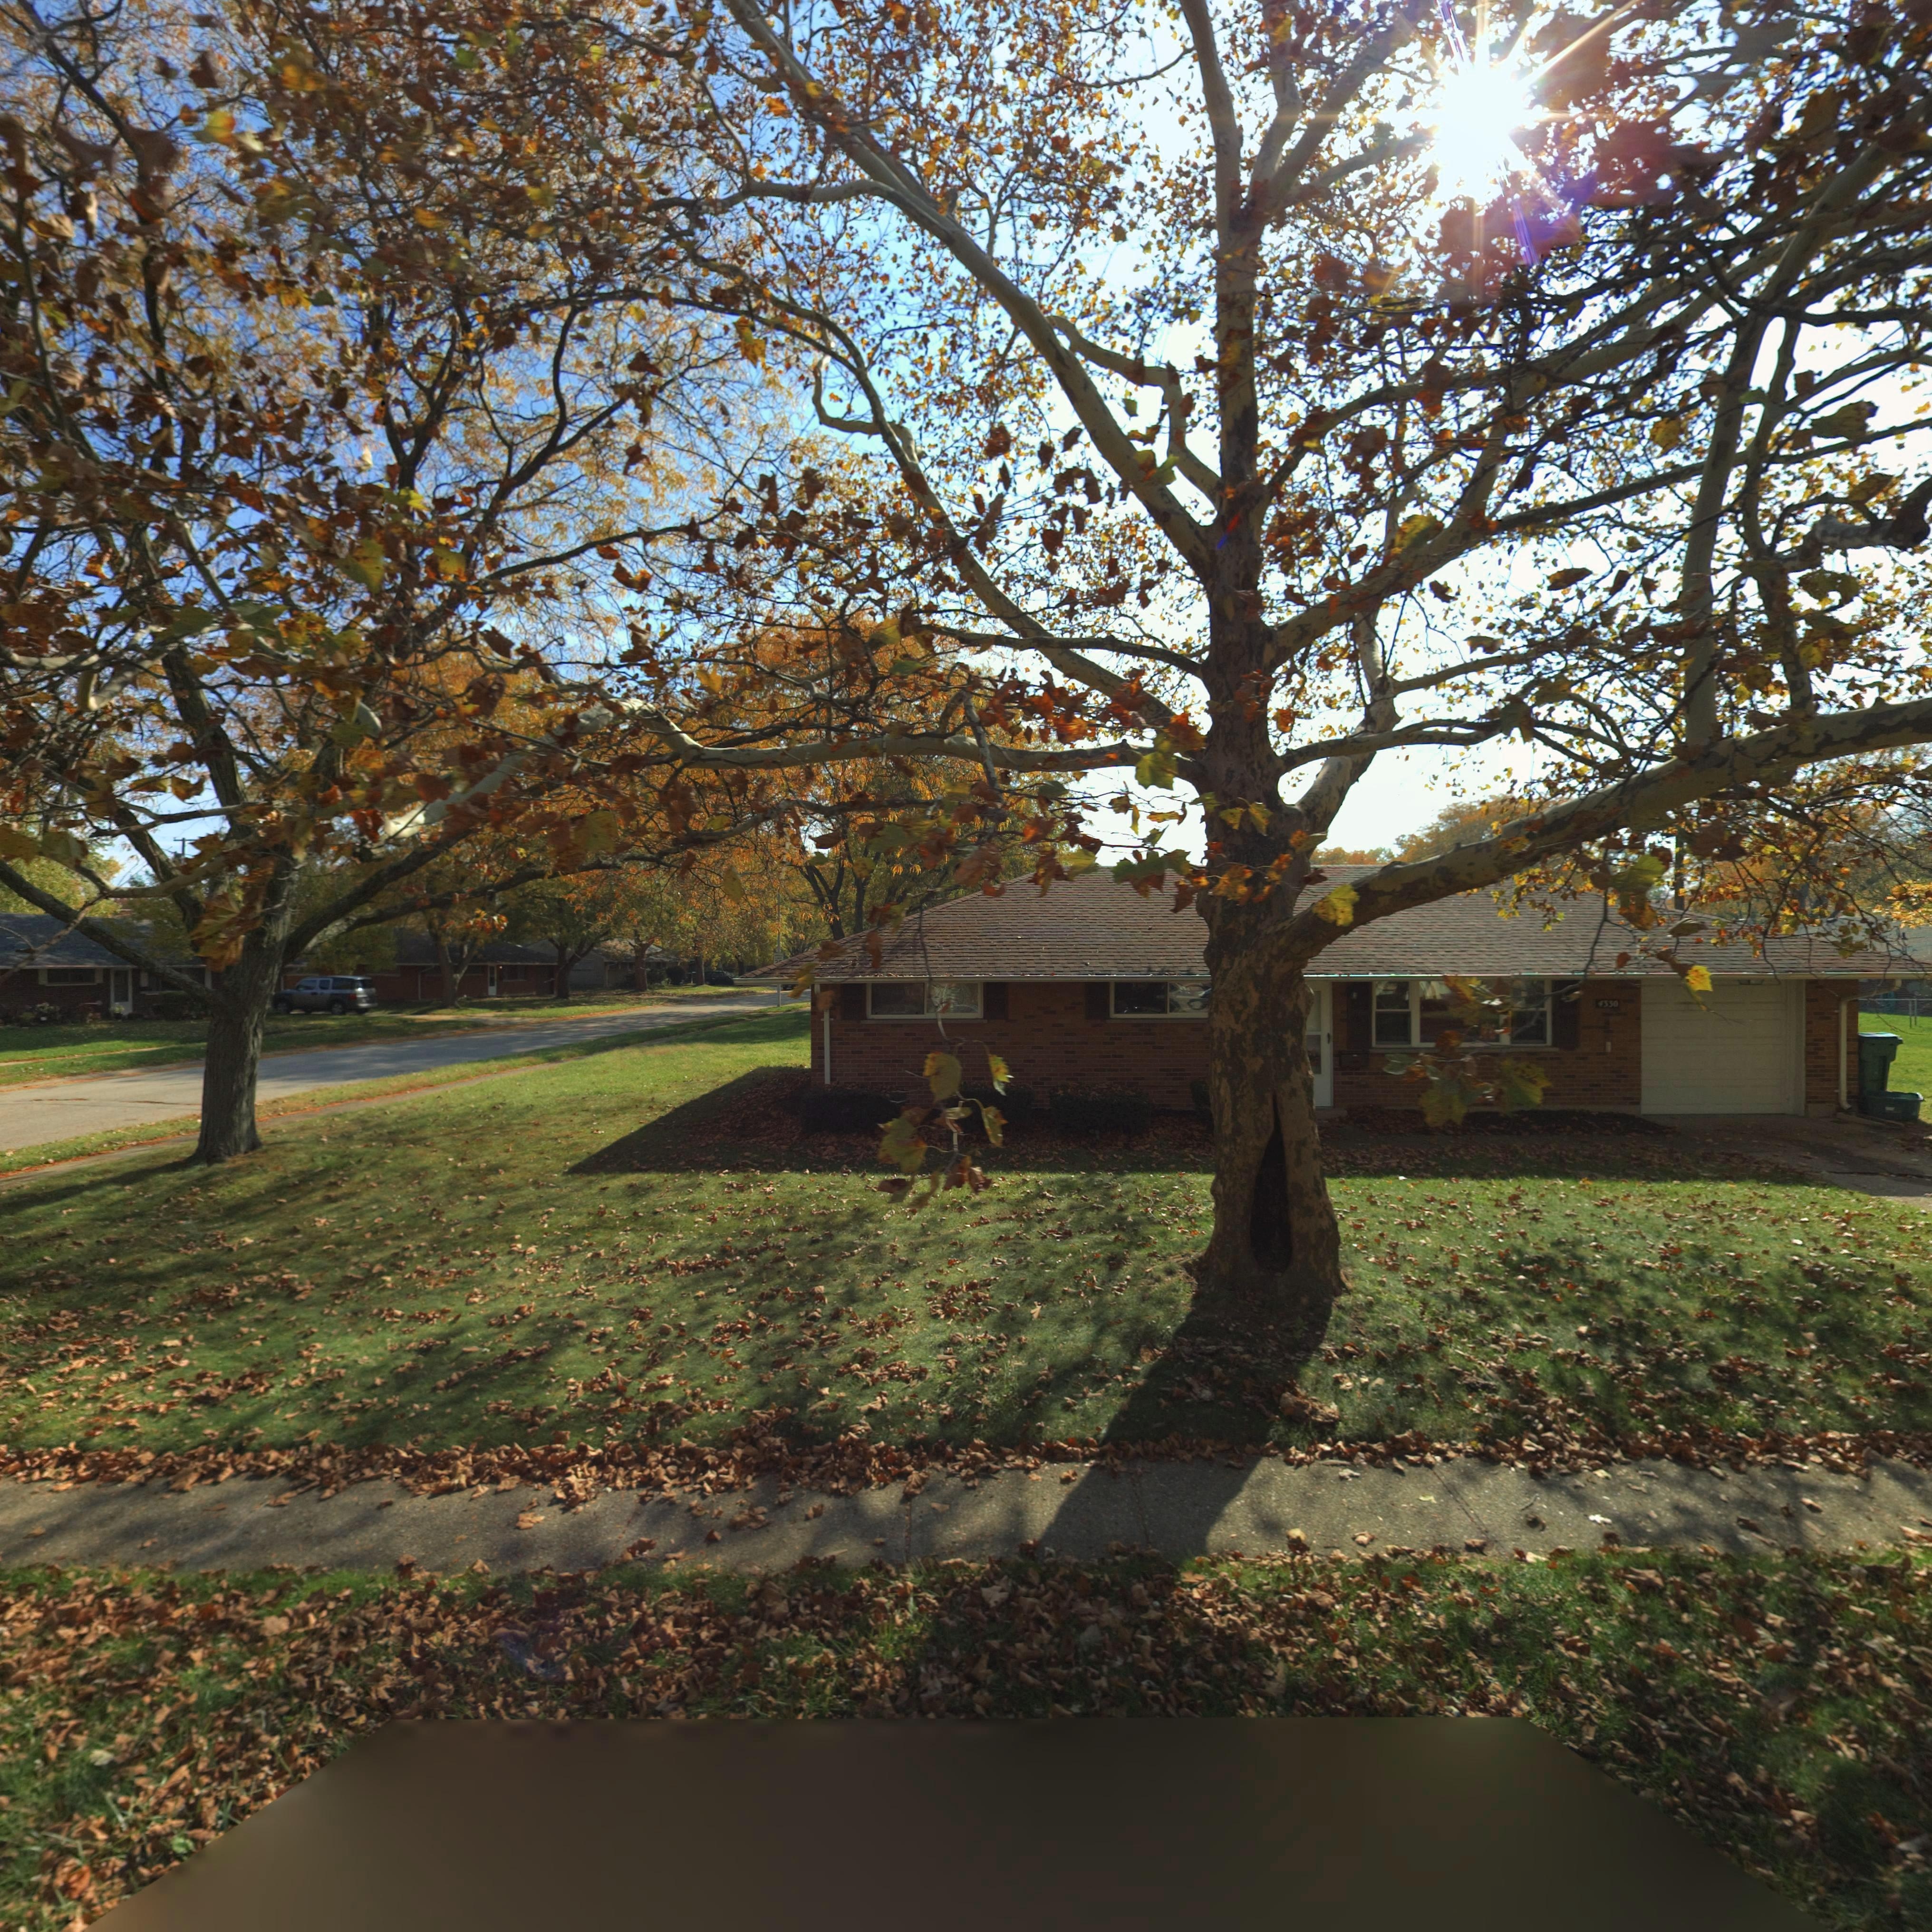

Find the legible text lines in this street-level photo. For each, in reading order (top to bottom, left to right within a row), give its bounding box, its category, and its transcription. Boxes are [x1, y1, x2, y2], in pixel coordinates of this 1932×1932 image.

[1596, 999, 1620, 1008] StreetNumber: 4330